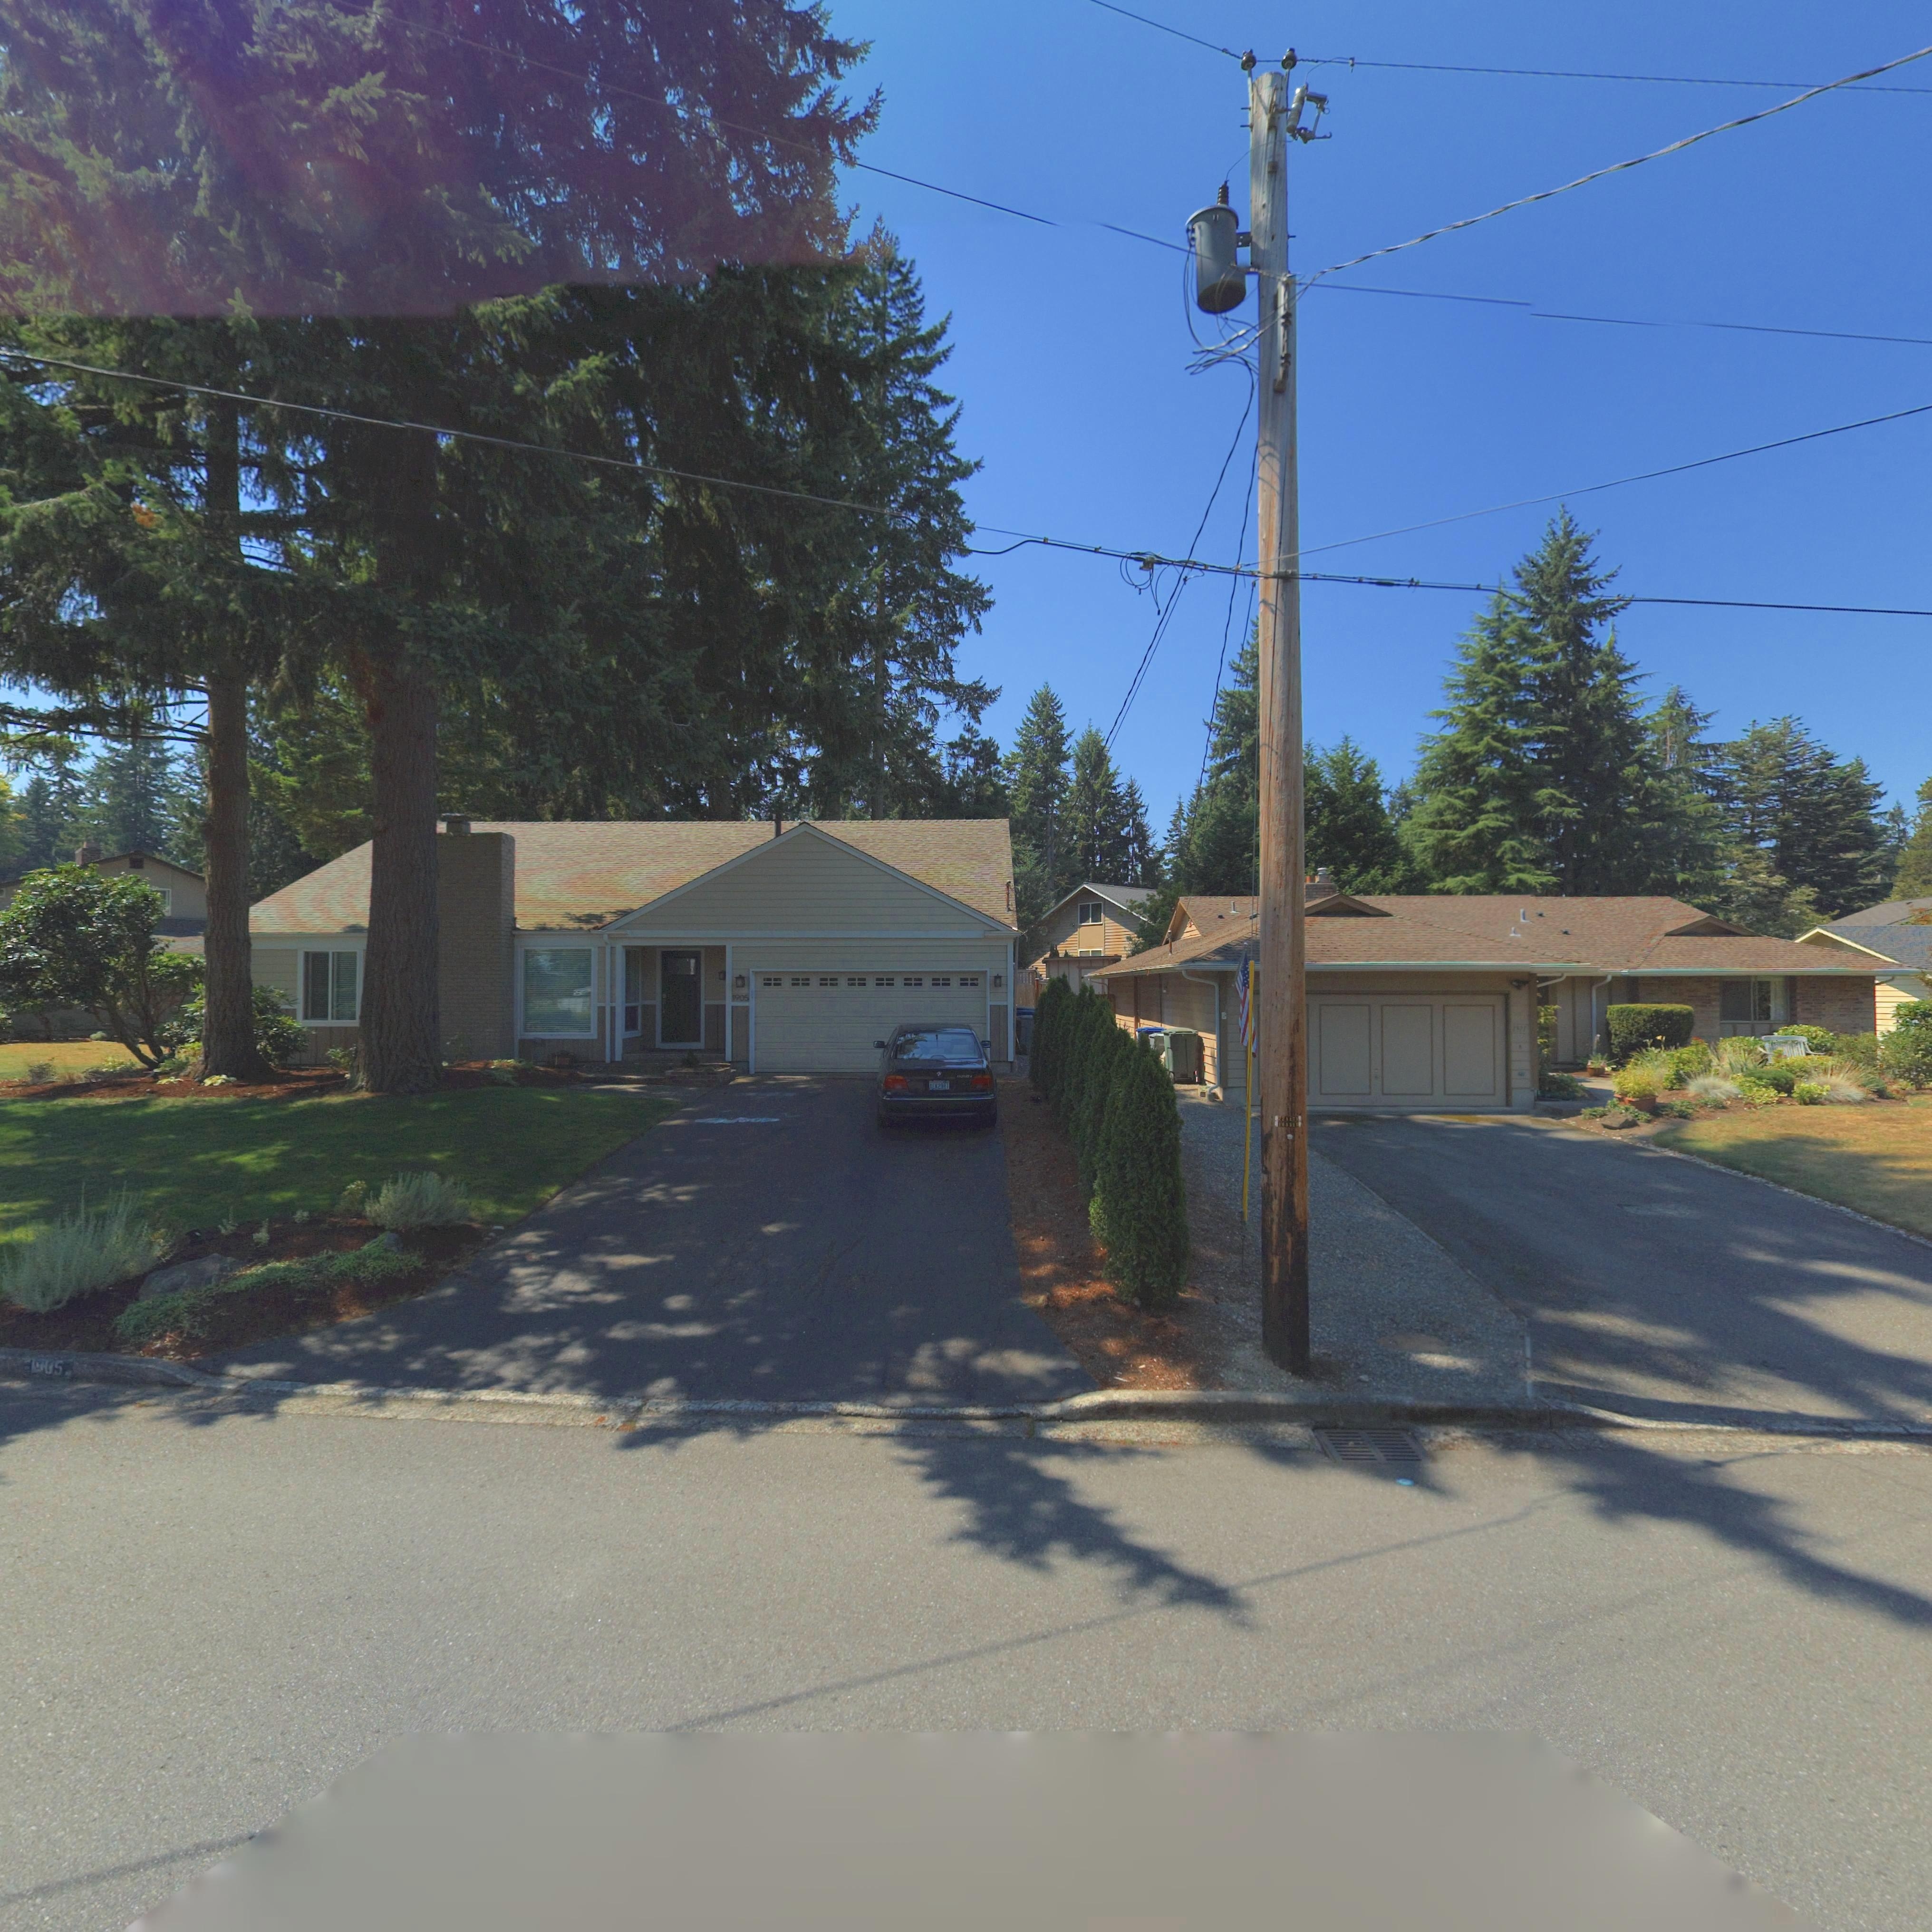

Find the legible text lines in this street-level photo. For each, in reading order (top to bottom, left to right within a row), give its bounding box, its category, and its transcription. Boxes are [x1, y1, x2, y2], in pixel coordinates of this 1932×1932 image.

[732, 993, 749, 1002] StreetNumber: 1905
[7, 1358, 65, 1375] StreetNumber: **05